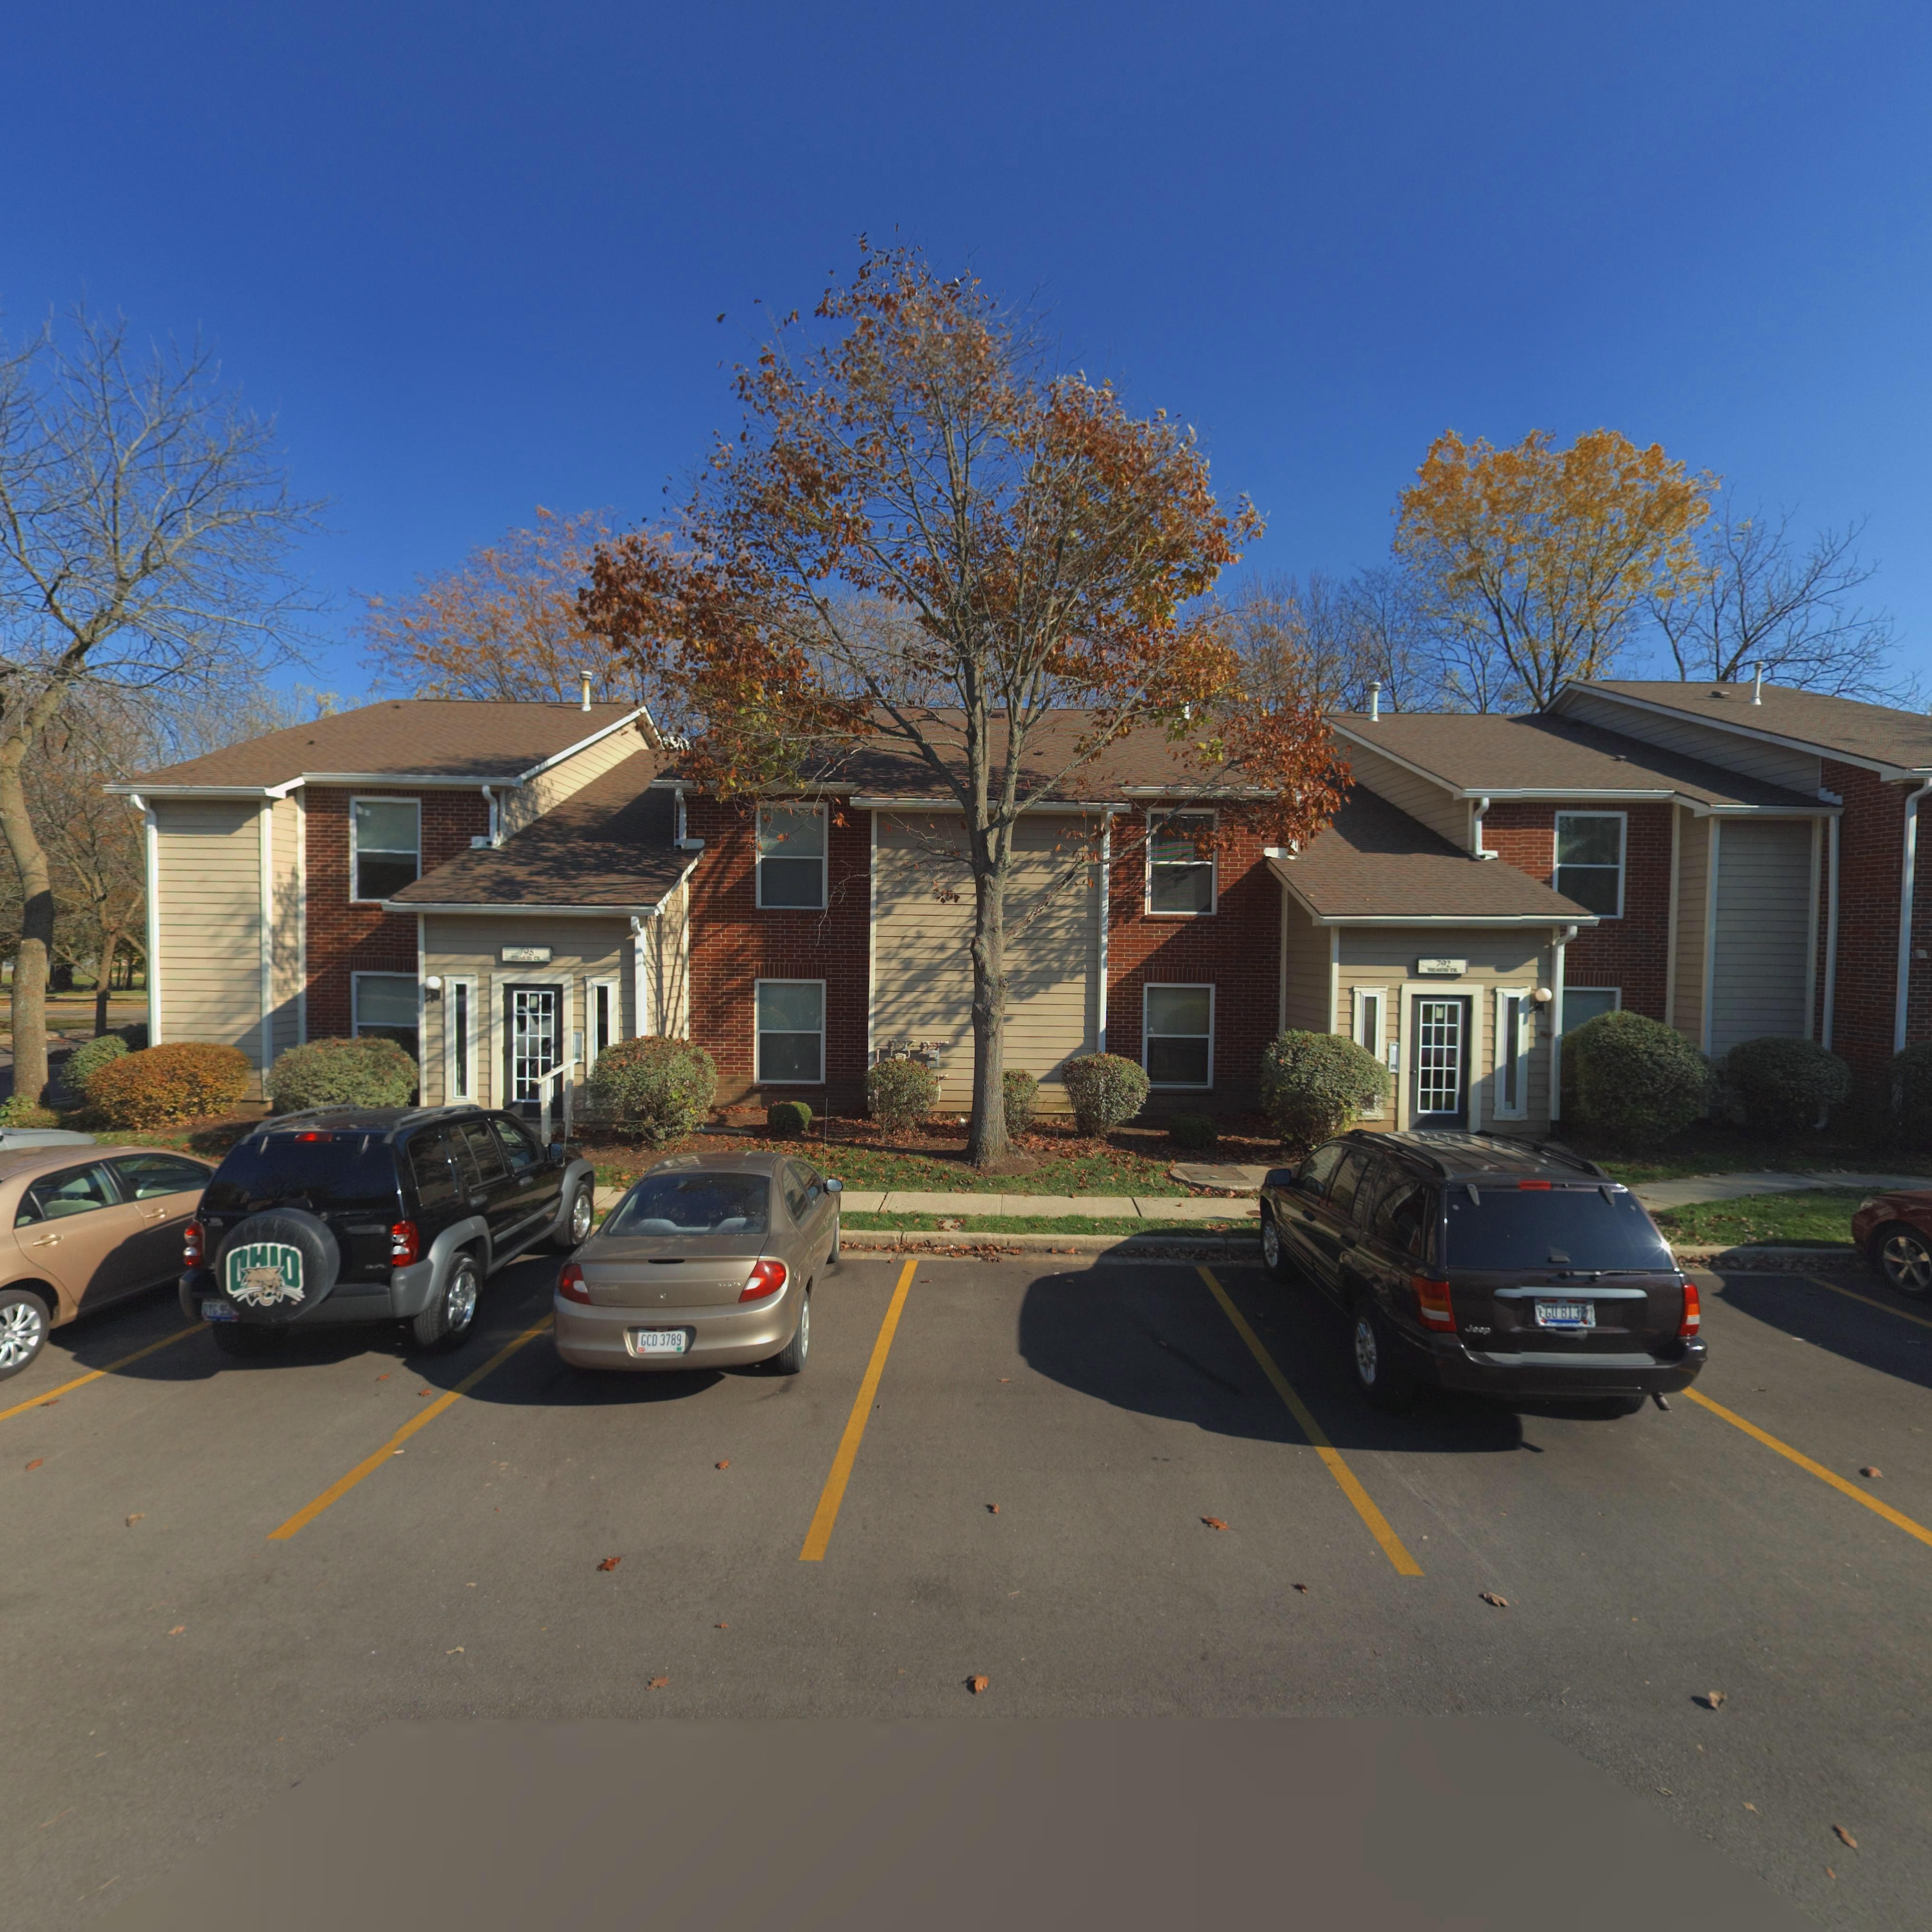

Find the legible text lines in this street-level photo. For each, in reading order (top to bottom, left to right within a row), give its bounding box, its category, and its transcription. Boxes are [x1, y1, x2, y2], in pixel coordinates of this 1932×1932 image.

[518, 947, 535, 956] StreetNumber: 798
[510, 956, 542, 961] StreetName: TREASU** *R
[1436, 959, 1451, 968] StreetNumber: 792
[1427, 967, 1458, 973] StreetName: **EA*URY *R
[229, 1245, 299, 1292] None: OHIO
[207, 1303, 229, 1316] None: YG*95
[1538, 1304, 1587, 1320] None: *GU*8132
[1464, 1323, 1492, 1335] None: Jeep
[641, 1333, 682, 1346] None: GCD*3789